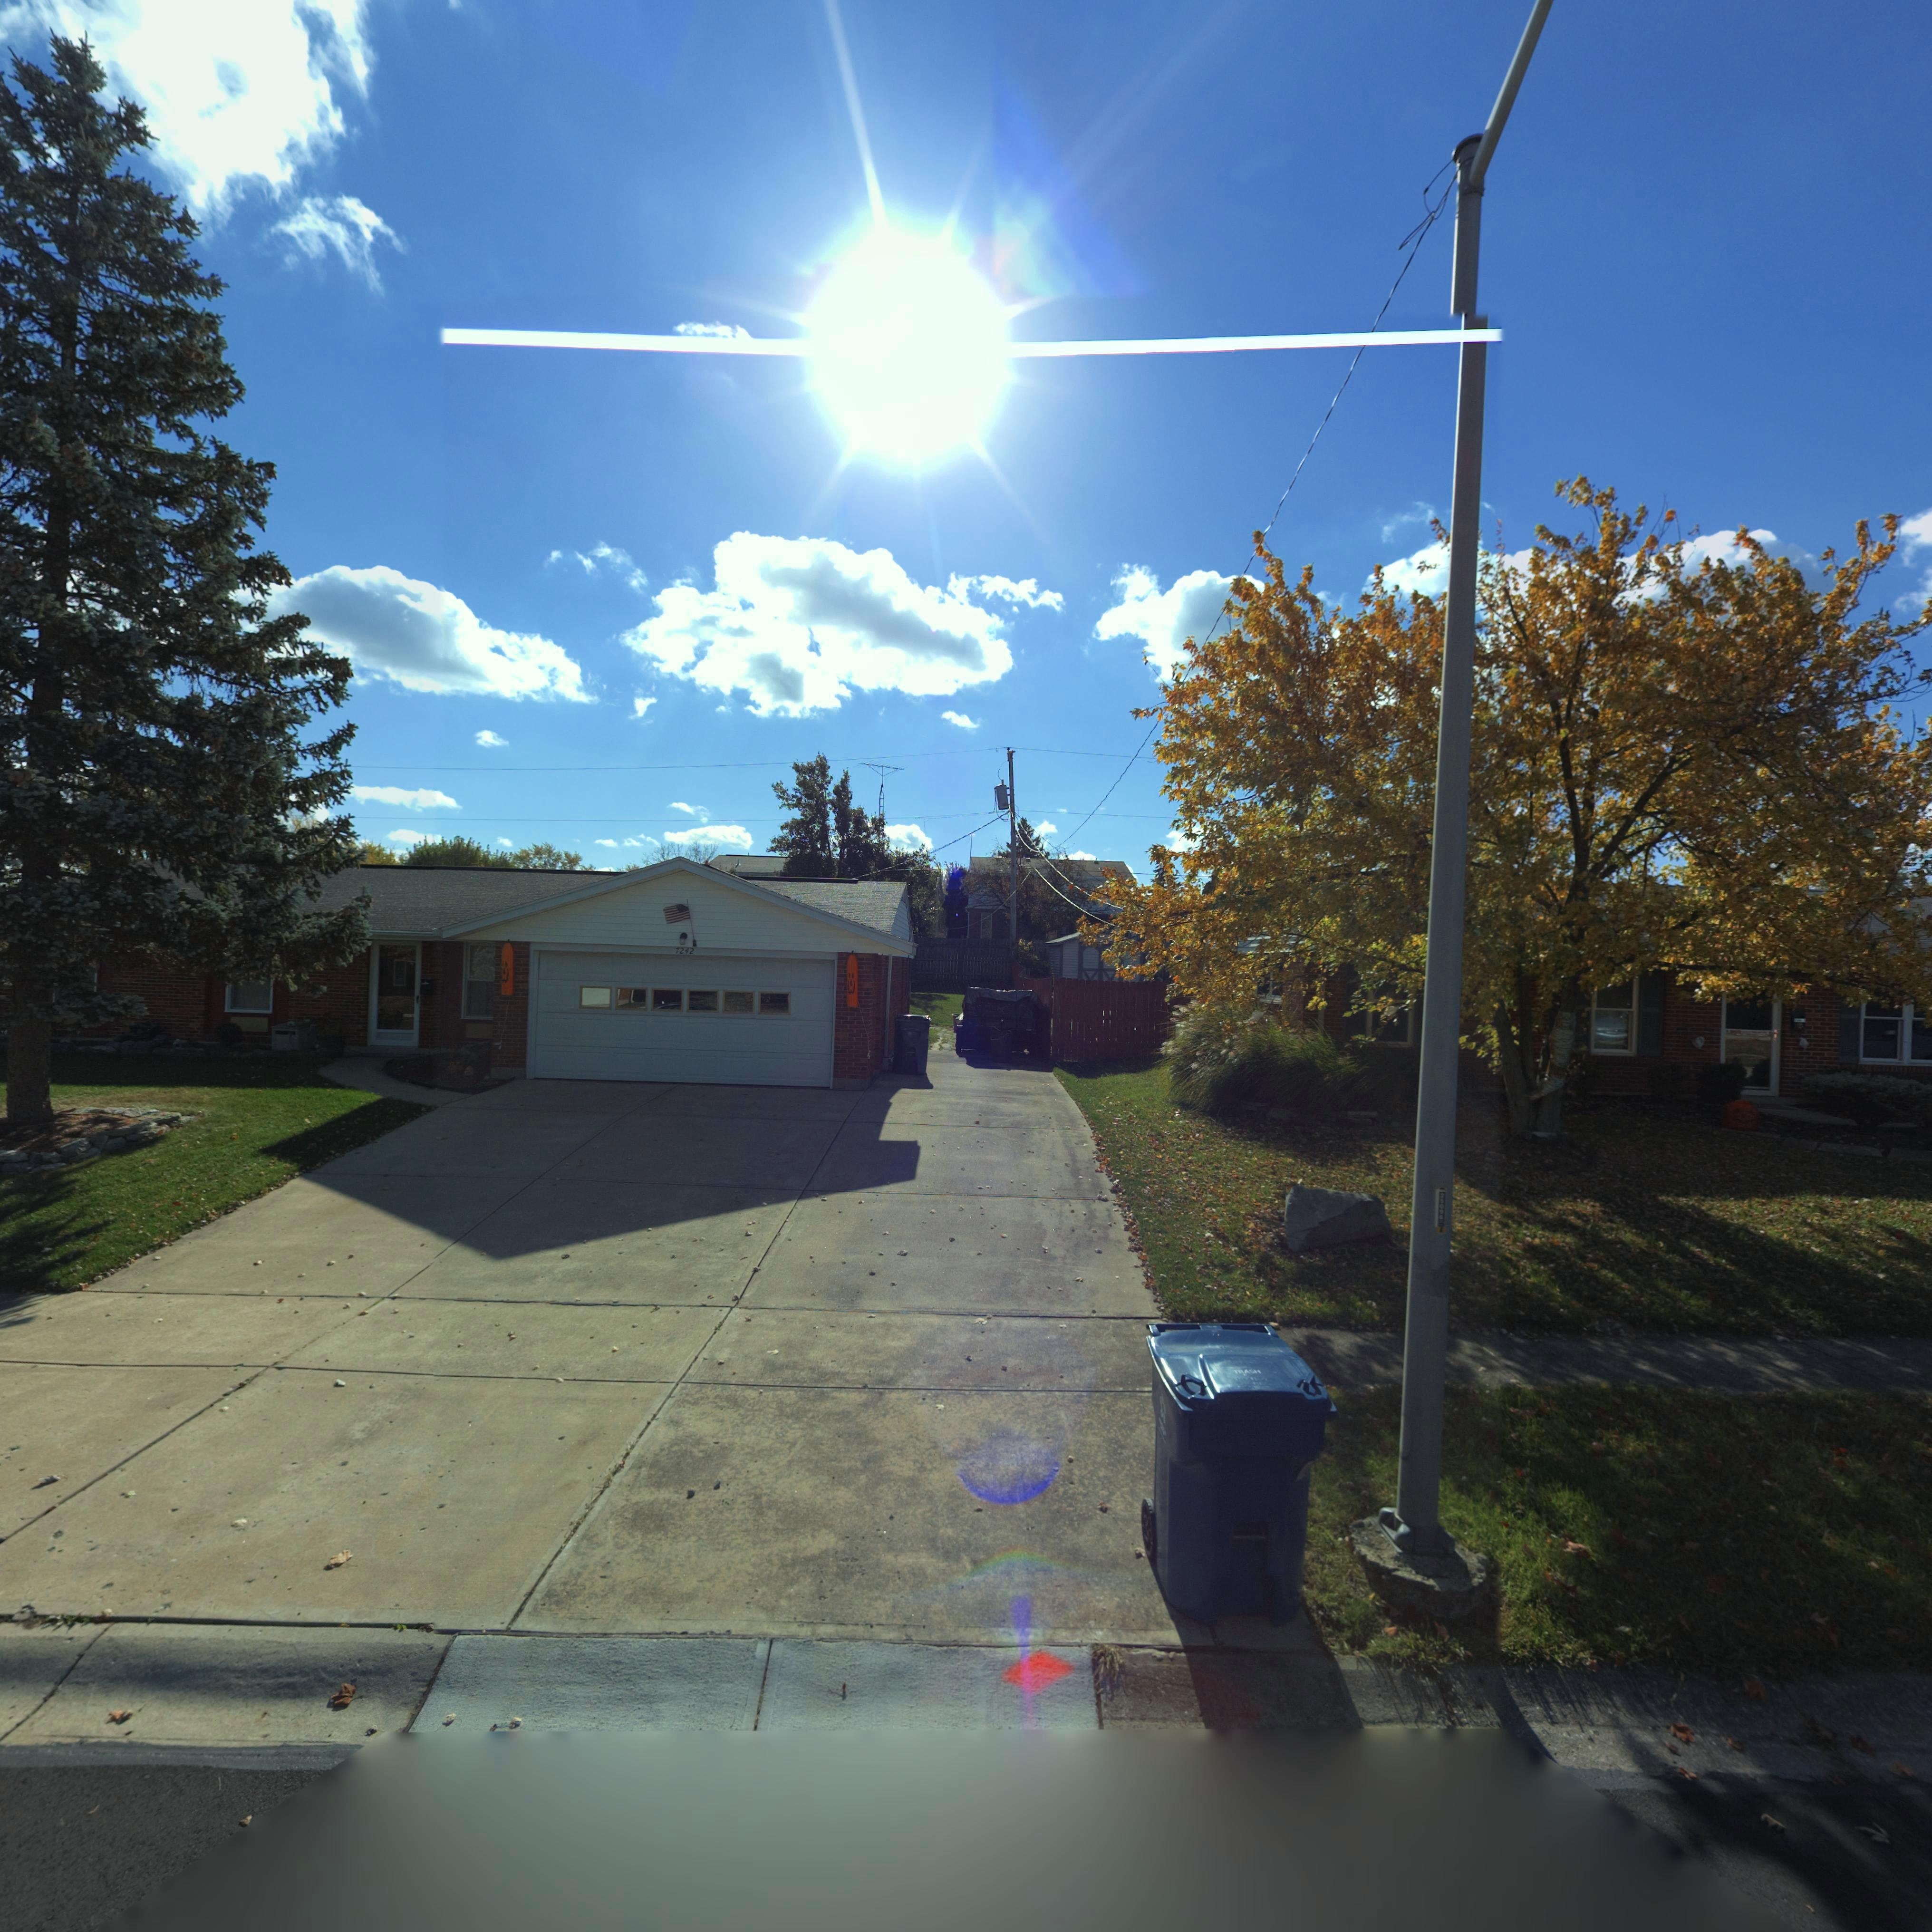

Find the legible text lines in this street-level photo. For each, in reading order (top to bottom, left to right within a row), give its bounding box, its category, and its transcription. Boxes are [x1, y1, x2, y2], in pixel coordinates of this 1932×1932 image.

[675, 947, 695, 956] StreetNumber: 7242